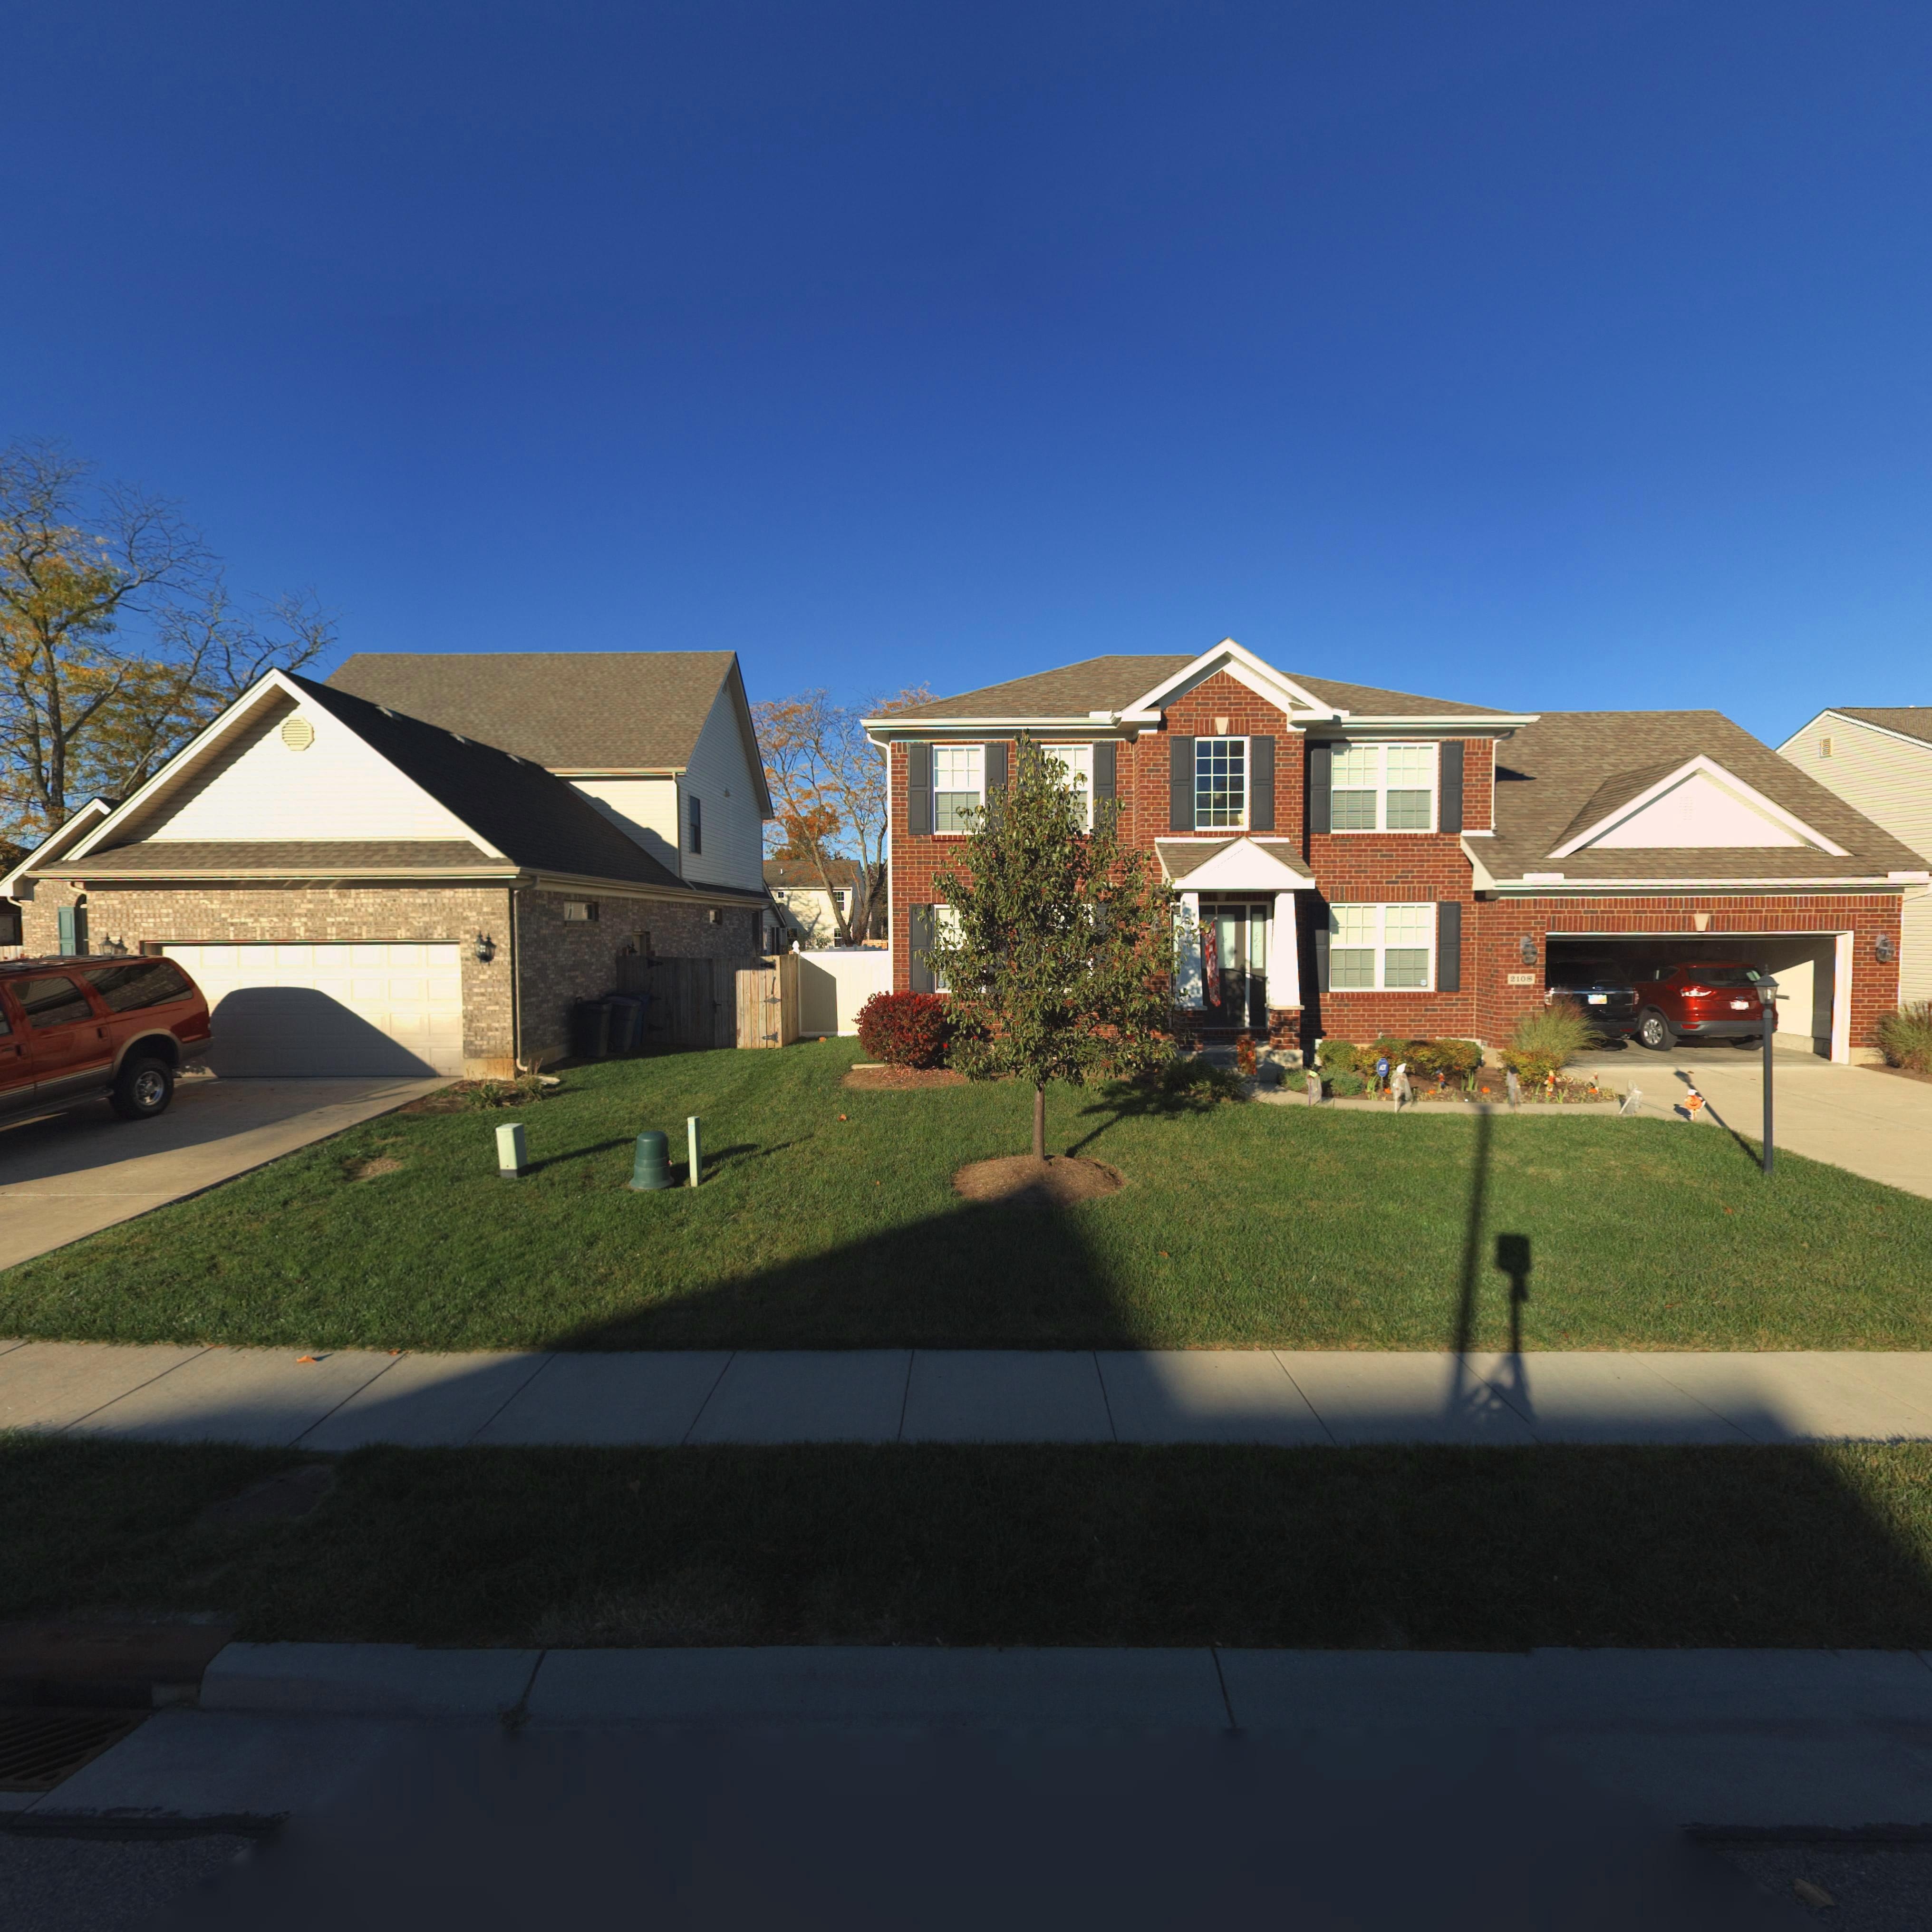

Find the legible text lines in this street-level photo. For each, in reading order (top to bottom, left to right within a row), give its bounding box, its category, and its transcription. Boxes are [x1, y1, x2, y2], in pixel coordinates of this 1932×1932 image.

[1508, 974, 1535, 984] StreetNumber: 210*